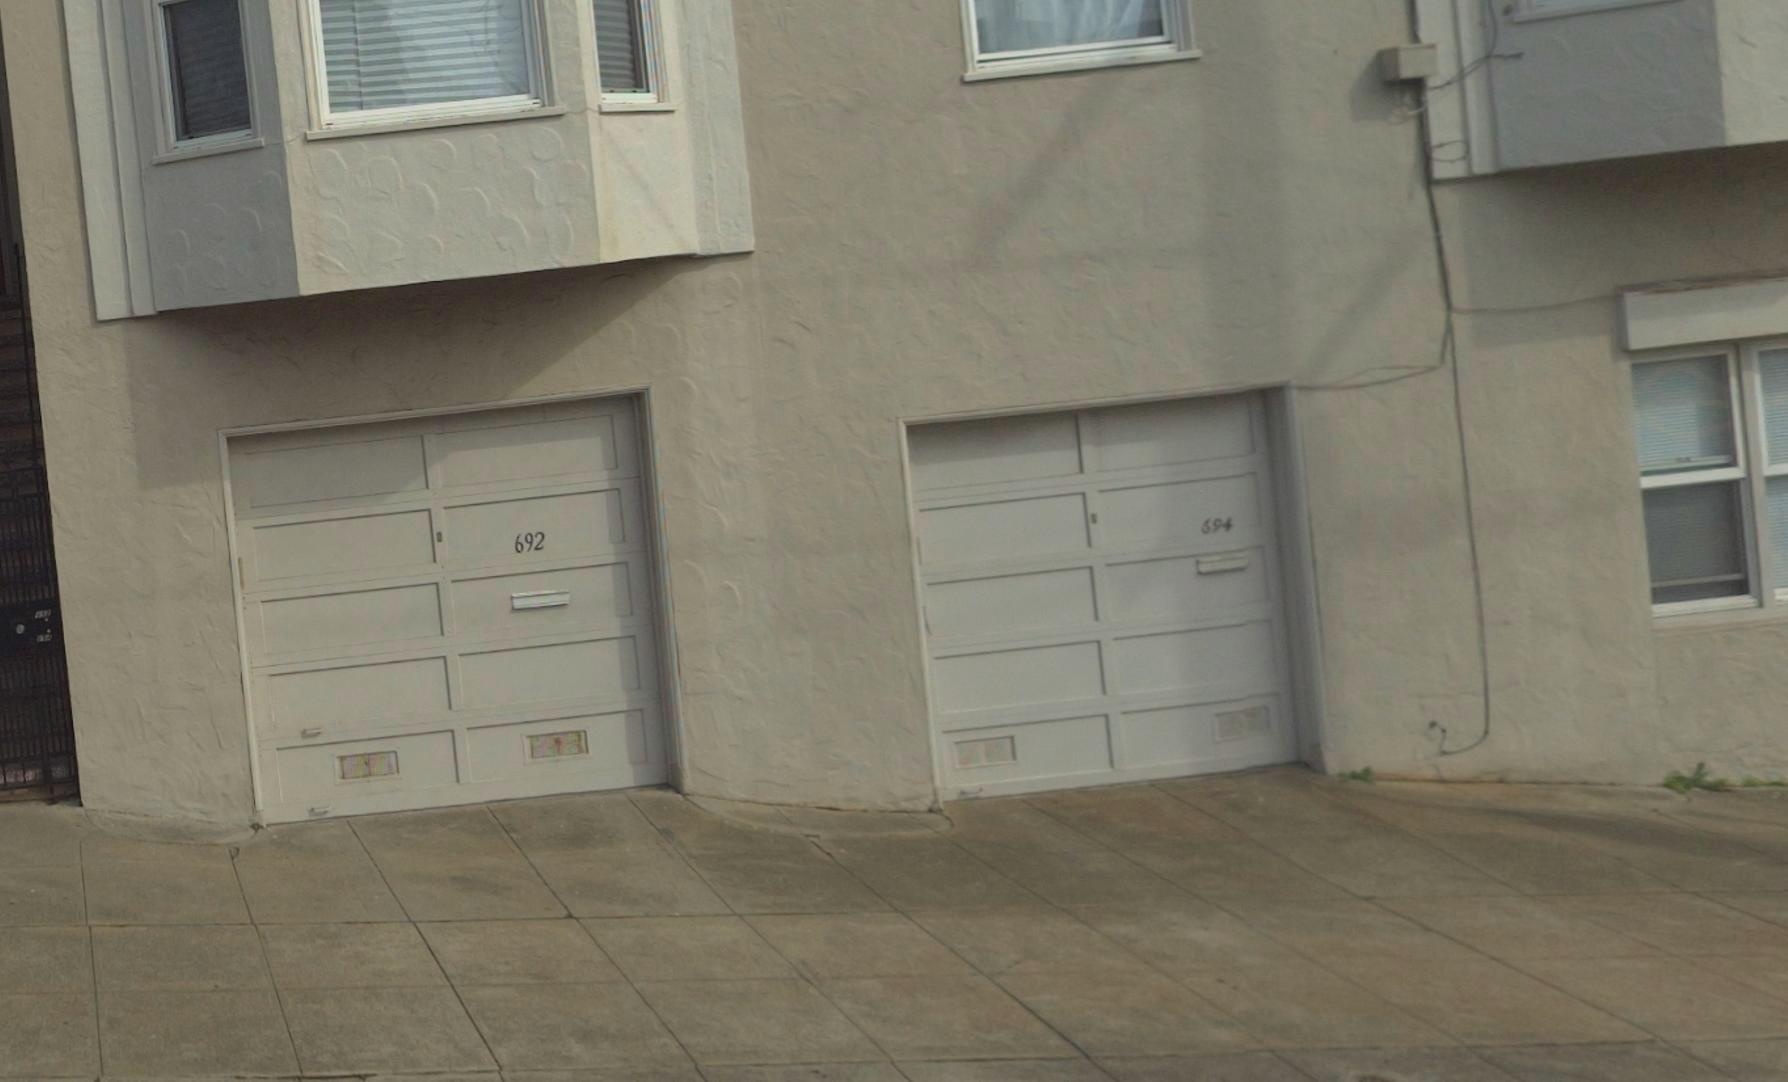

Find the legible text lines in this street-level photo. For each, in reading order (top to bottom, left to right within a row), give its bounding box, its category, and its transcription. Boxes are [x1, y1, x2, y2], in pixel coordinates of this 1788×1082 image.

[1198, 514, 1235, 536] StreetNumber: 694
[512, 530, 549, 556] StreetNumber: 692